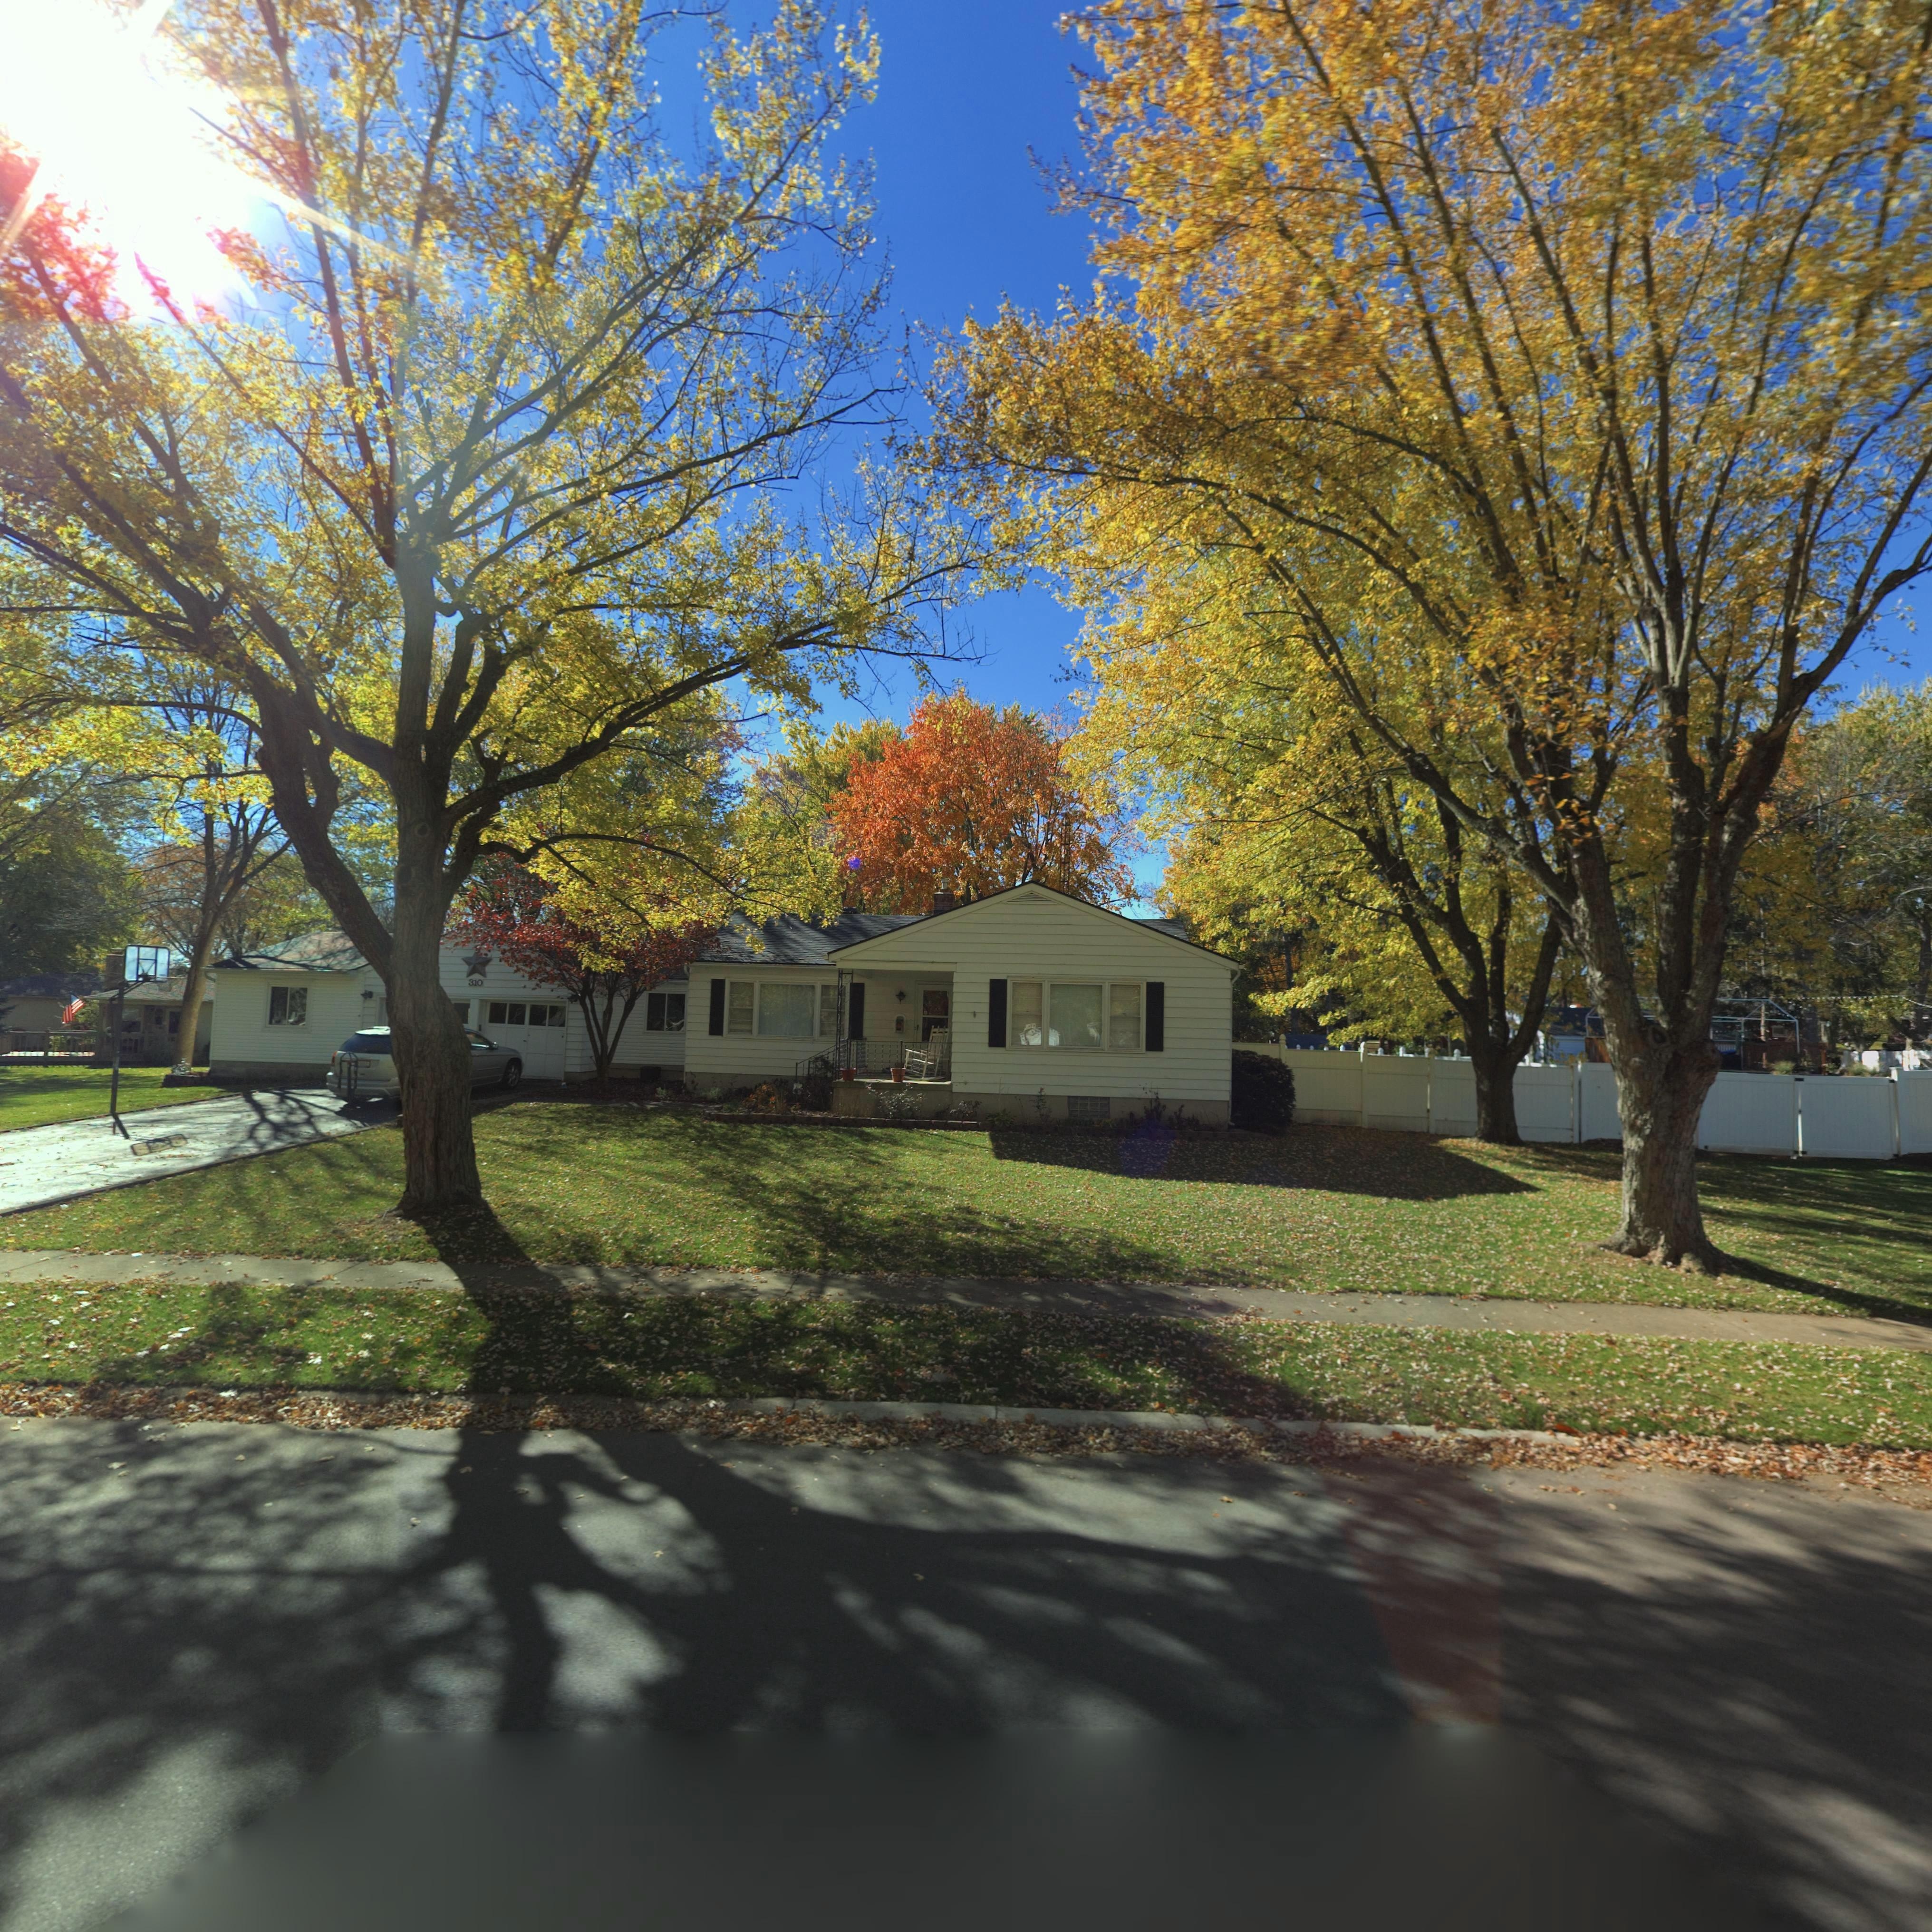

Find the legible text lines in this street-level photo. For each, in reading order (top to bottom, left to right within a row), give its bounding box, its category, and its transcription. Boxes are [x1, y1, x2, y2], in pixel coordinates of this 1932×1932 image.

[467, 978, 483, 986] StreetNumber: 310